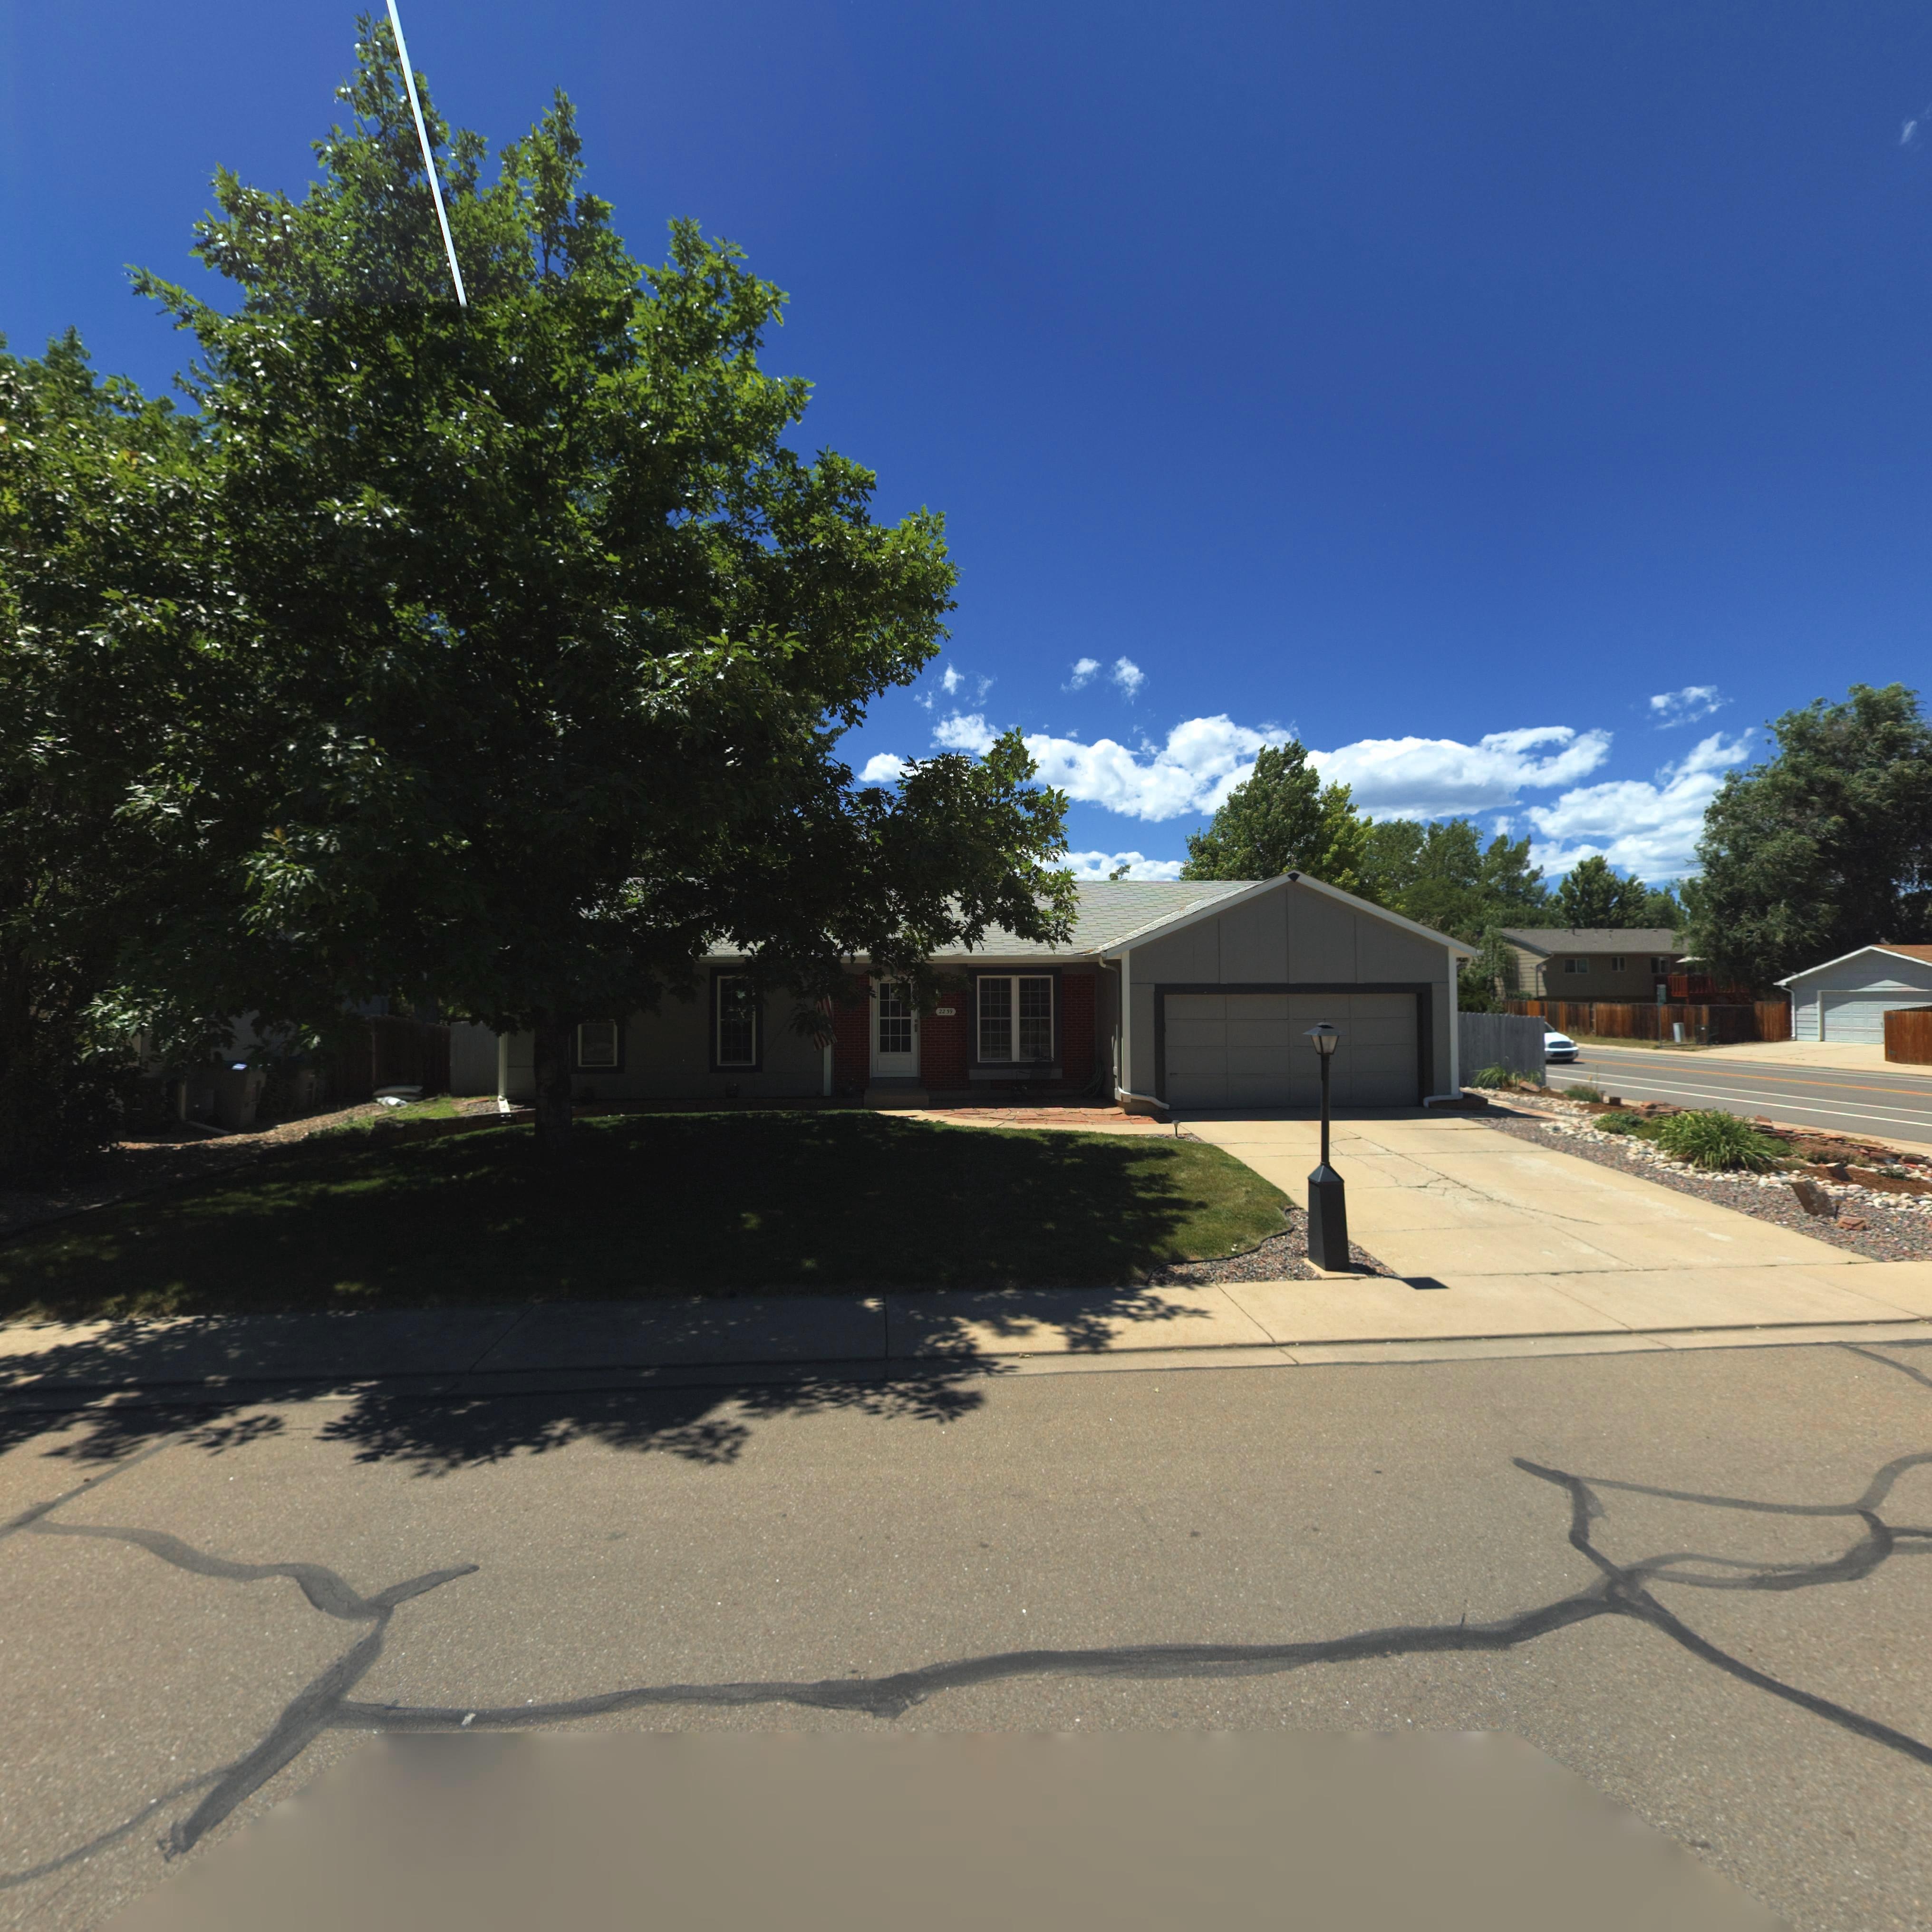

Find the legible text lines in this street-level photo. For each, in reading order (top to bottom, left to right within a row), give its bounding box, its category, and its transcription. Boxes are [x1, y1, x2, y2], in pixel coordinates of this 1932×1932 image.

[938, 1008, 953, 1014] StreetNumber: 2239